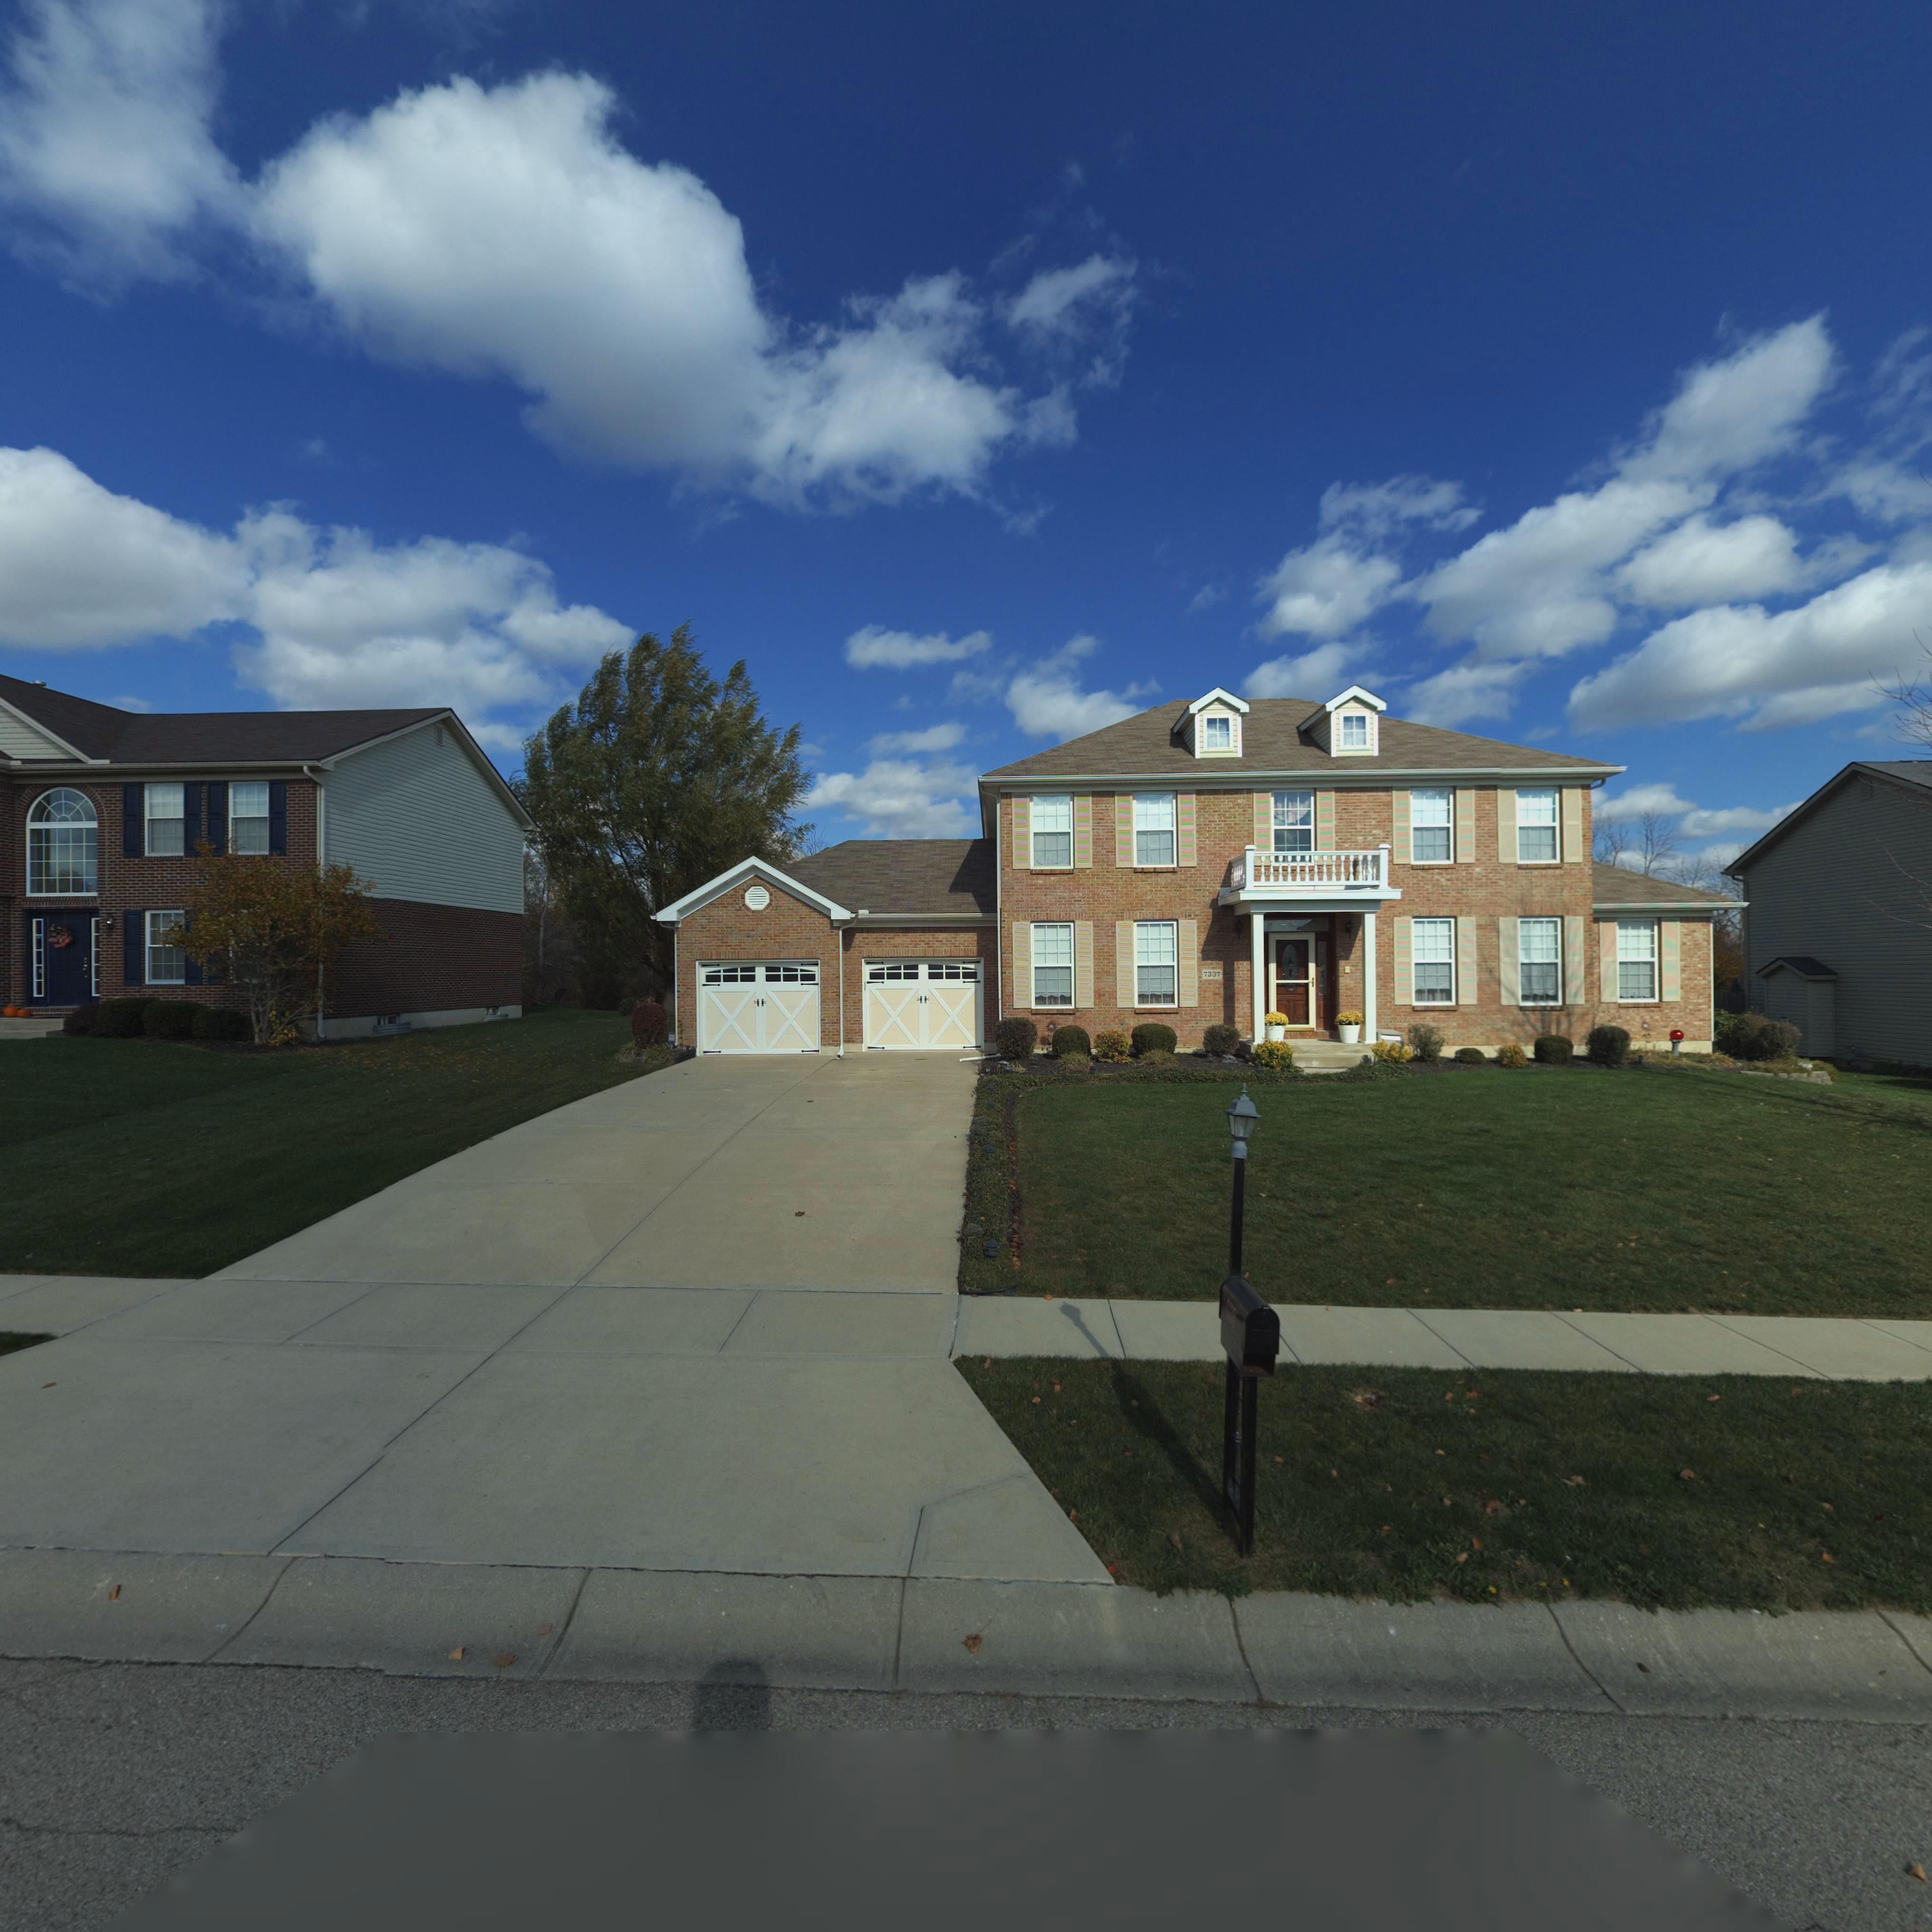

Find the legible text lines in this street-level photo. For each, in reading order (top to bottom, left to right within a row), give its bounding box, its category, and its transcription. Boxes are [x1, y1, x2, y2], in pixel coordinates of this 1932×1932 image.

[1203, 971, 1221, 977] StreetNumber: 7337